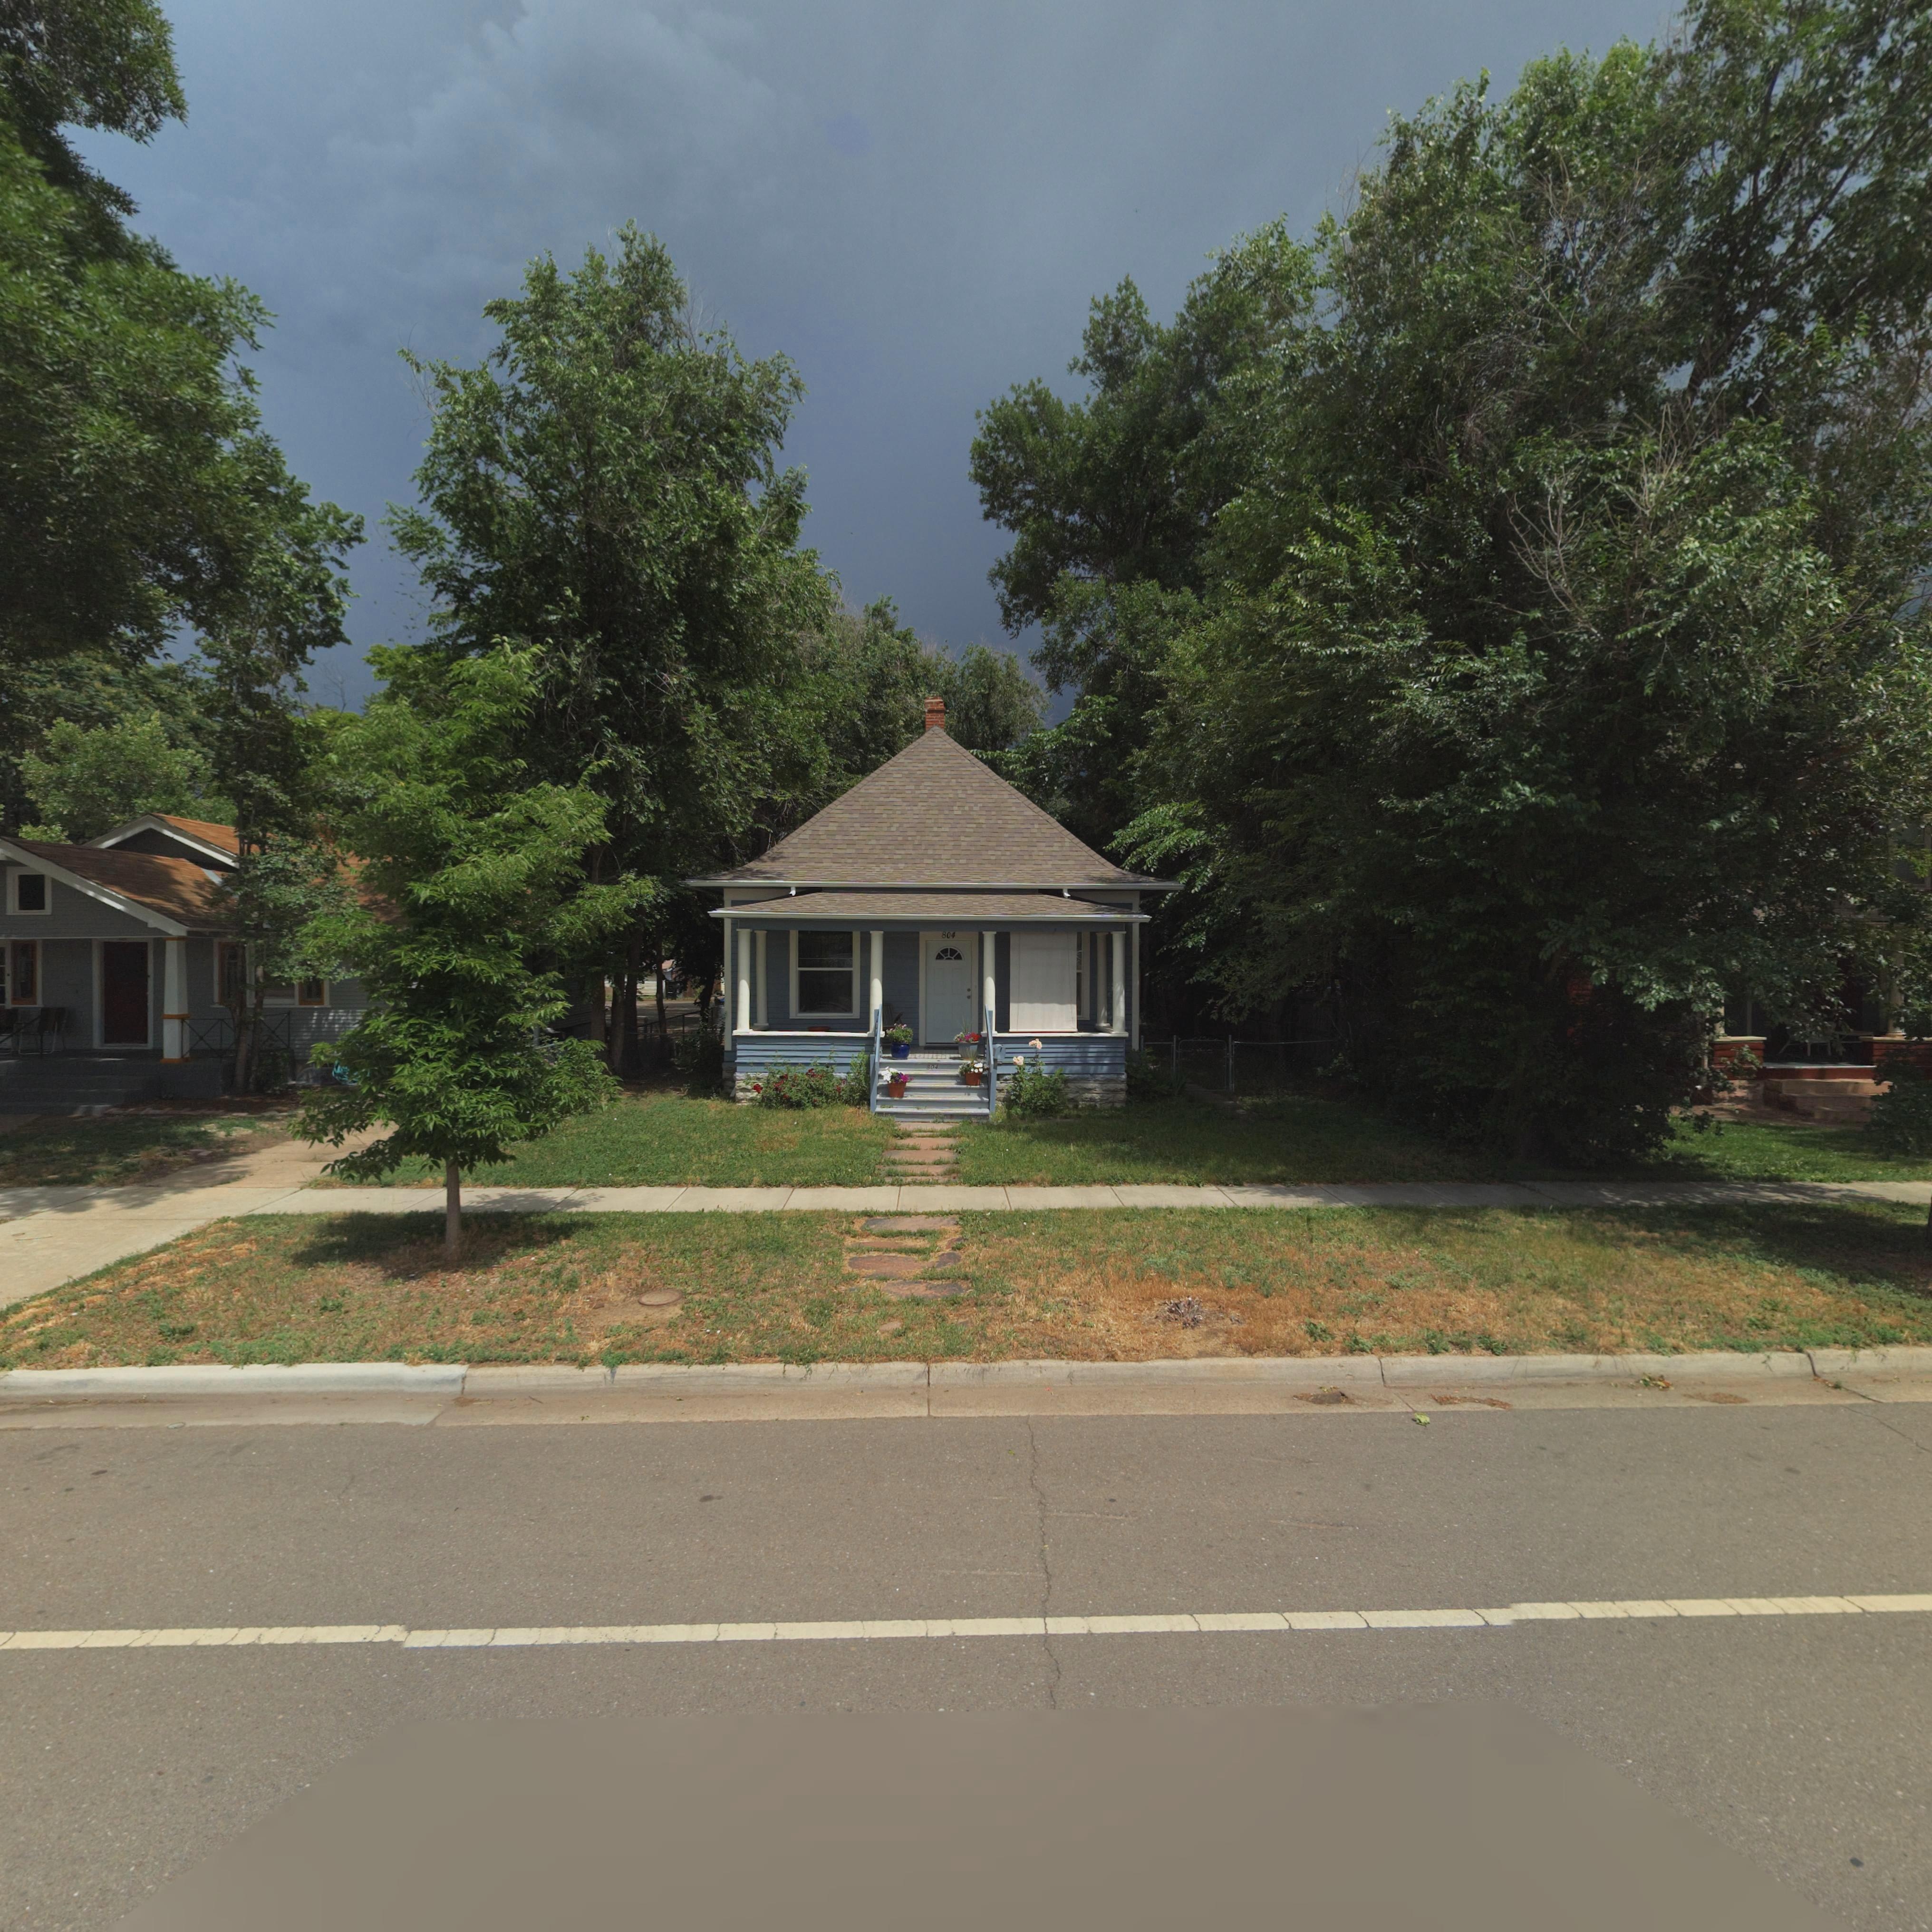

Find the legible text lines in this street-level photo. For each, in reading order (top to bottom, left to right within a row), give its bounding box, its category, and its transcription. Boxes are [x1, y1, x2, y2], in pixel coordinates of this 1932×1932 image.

[941, 931, 956, 938] StreetNumber: 804
[926, 1064, 938, 1070] StreetNumber: 804